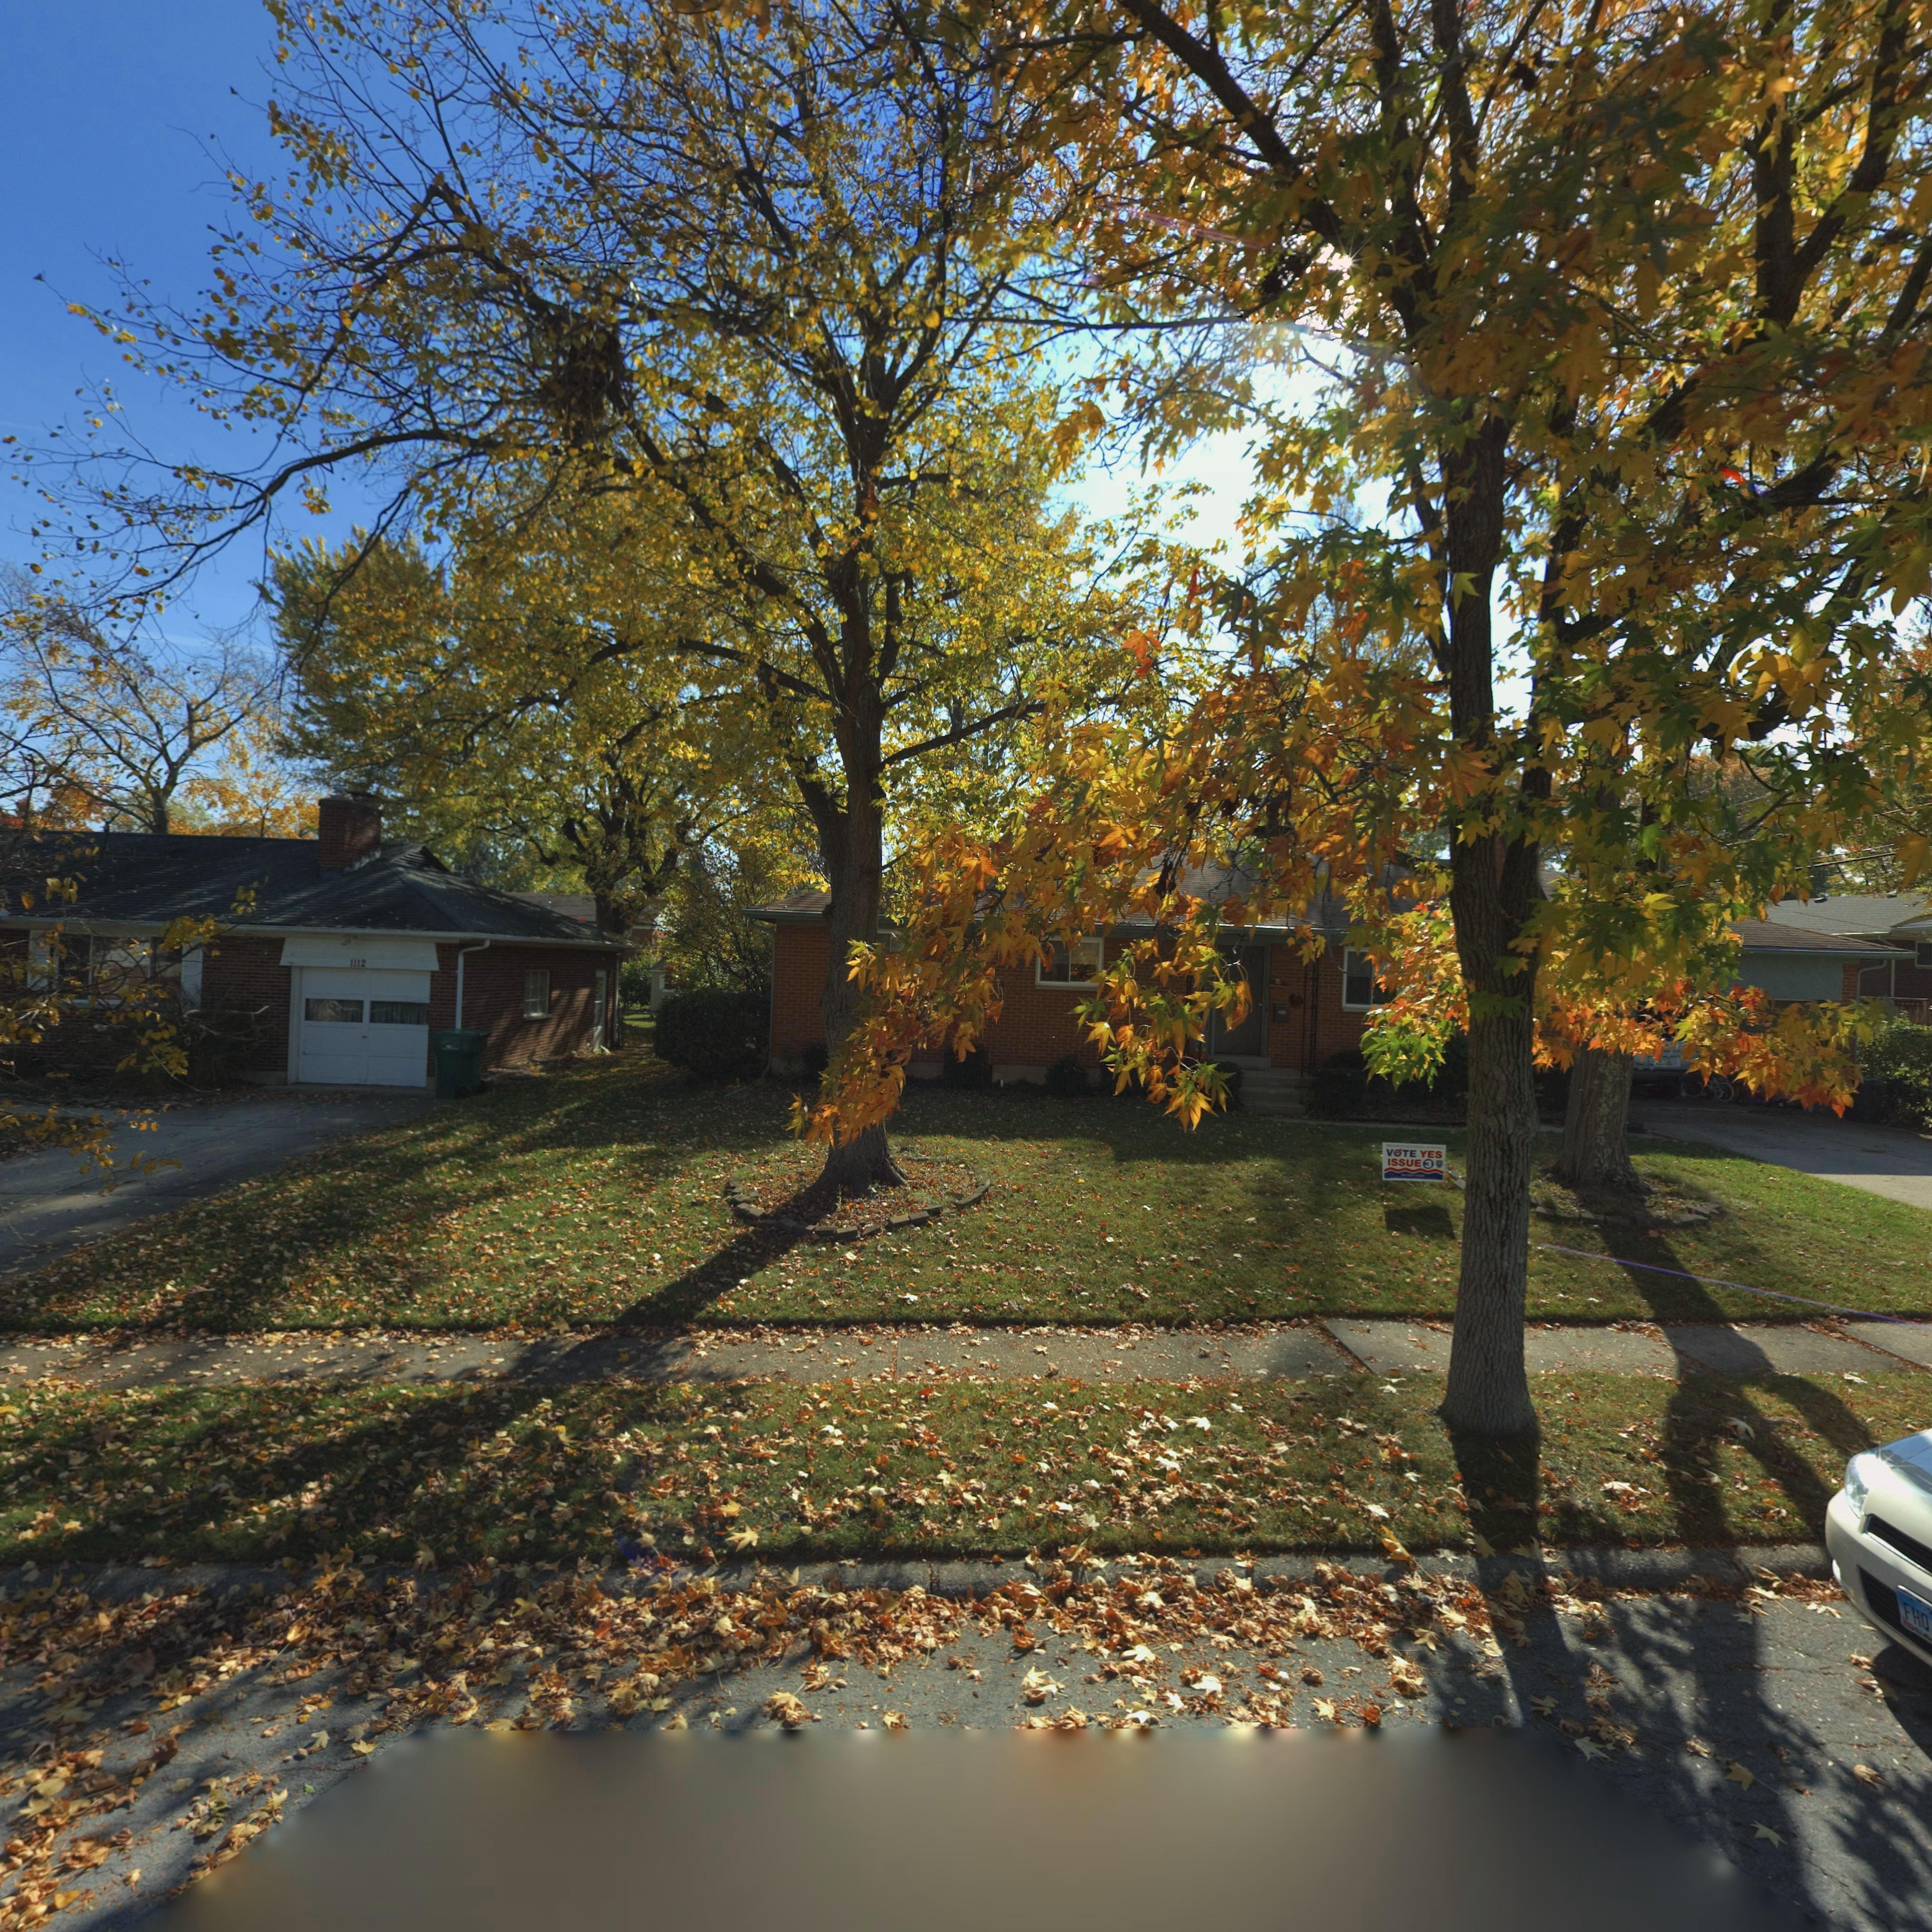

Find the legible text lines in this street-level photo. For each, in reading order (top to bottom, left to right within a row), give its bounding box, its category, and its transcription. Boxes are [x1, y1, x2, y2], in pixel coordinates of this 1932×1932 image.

[349, 958, 367, 967] StreetNumber: 1112
[1903, 1601, 1930, 1634] None: FHQ